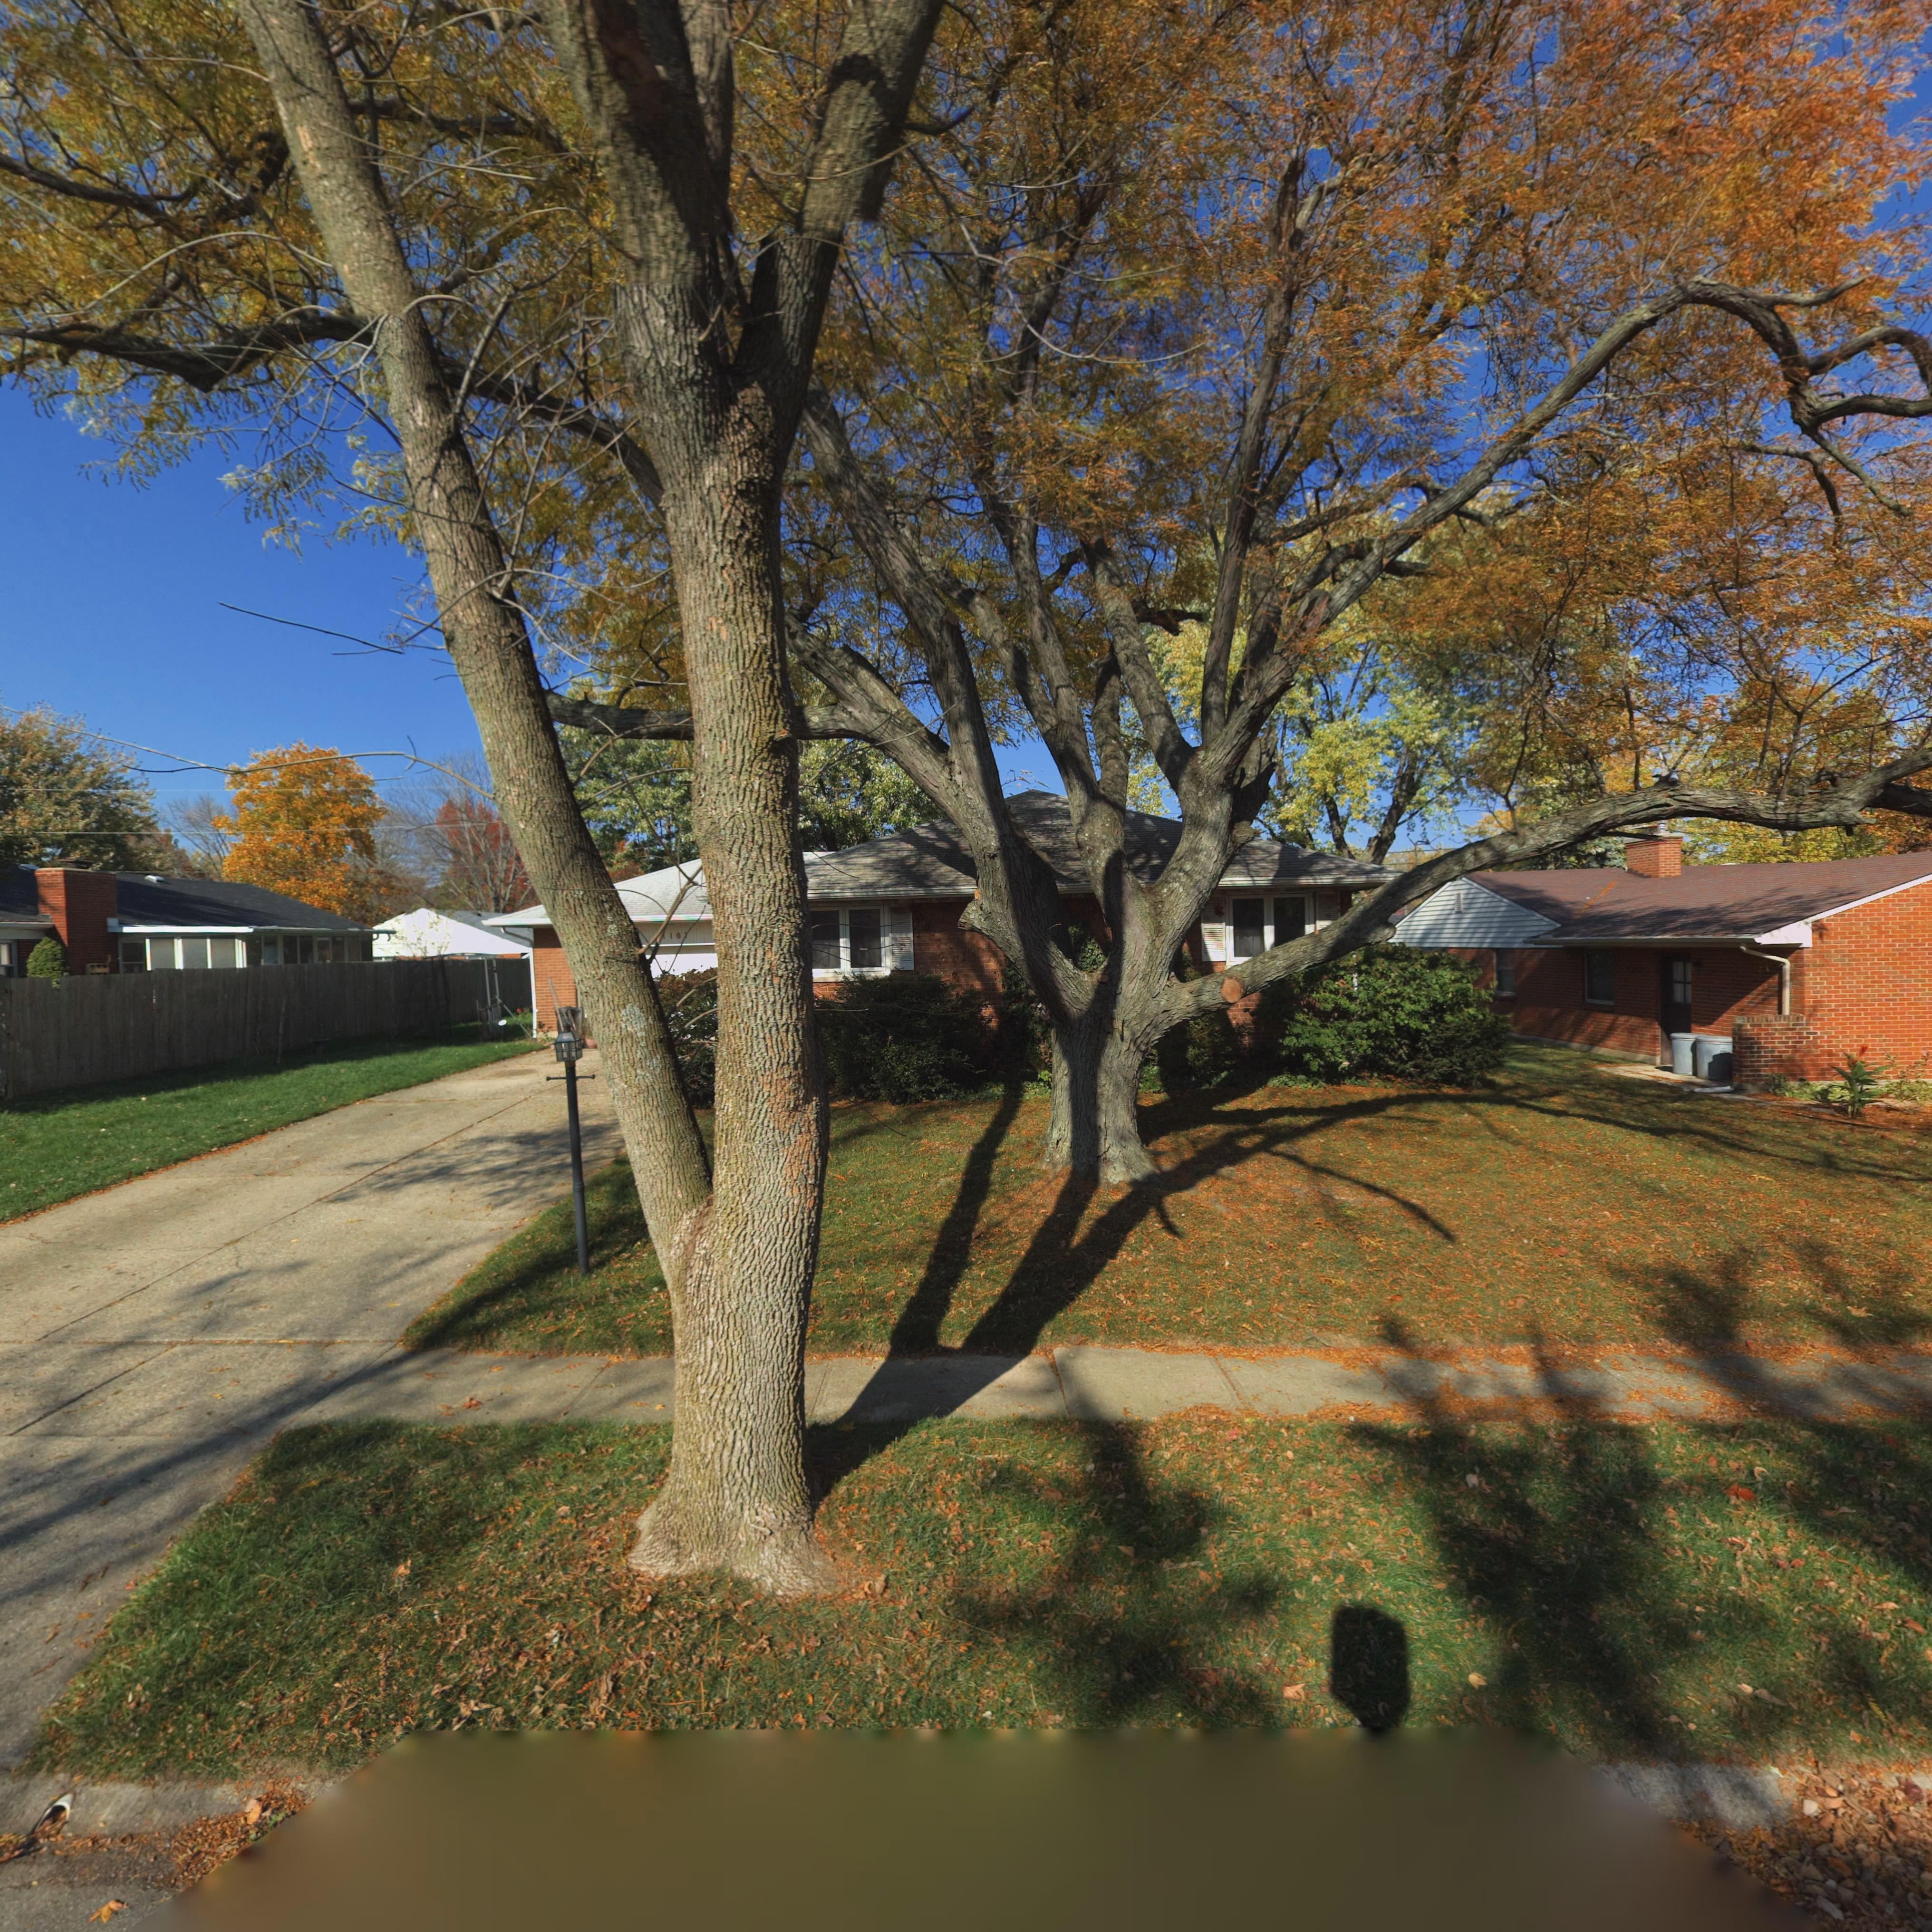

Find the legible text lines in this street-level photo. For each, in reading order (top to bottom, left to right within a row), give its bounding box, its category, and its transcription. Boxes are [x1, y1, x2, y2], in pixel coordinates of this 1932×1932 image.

[668, 931, 682, 940] StreetNumber: 10